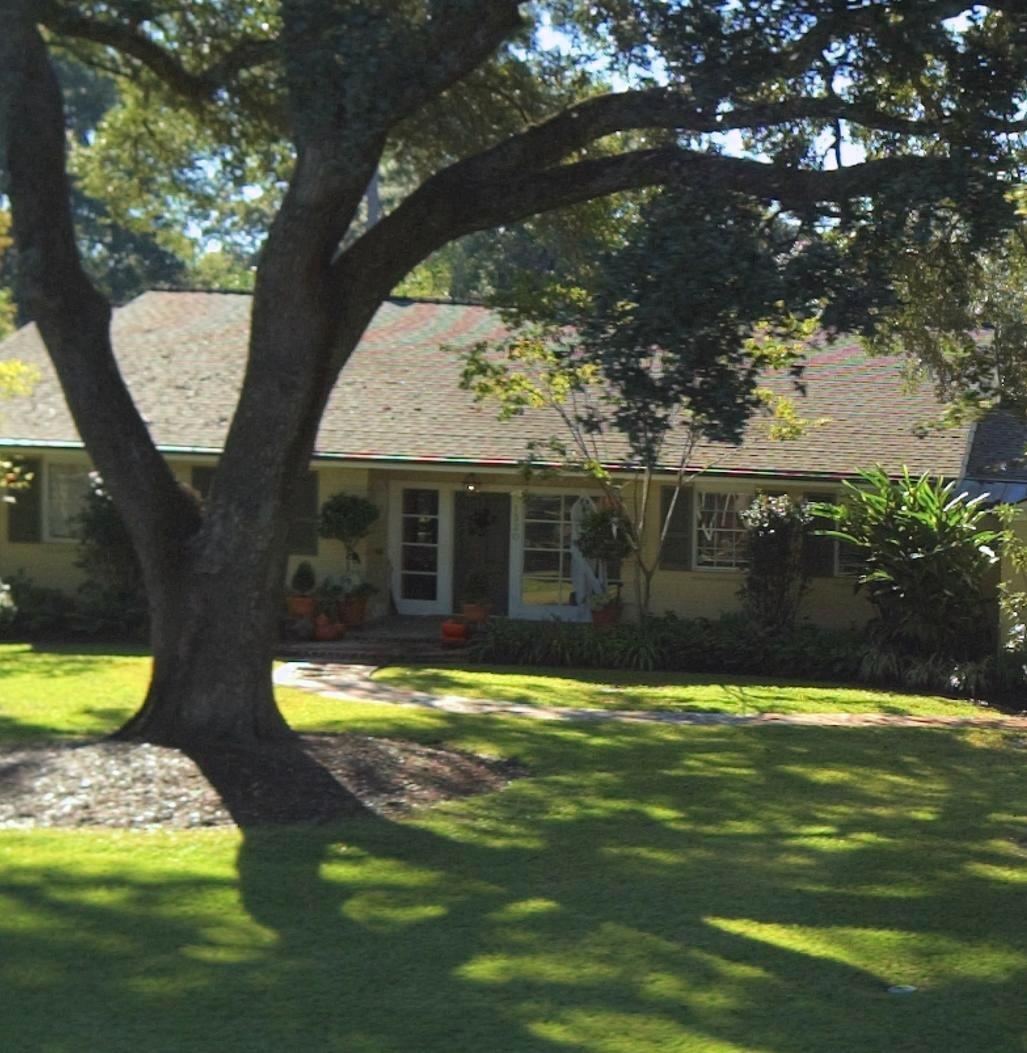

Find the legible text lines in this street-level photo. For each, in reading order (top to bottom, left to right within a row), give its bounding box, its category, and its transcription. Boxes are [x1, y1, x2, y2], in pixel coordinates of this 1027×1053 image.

[510, 502, 522, 542] StreetNumber: 1520